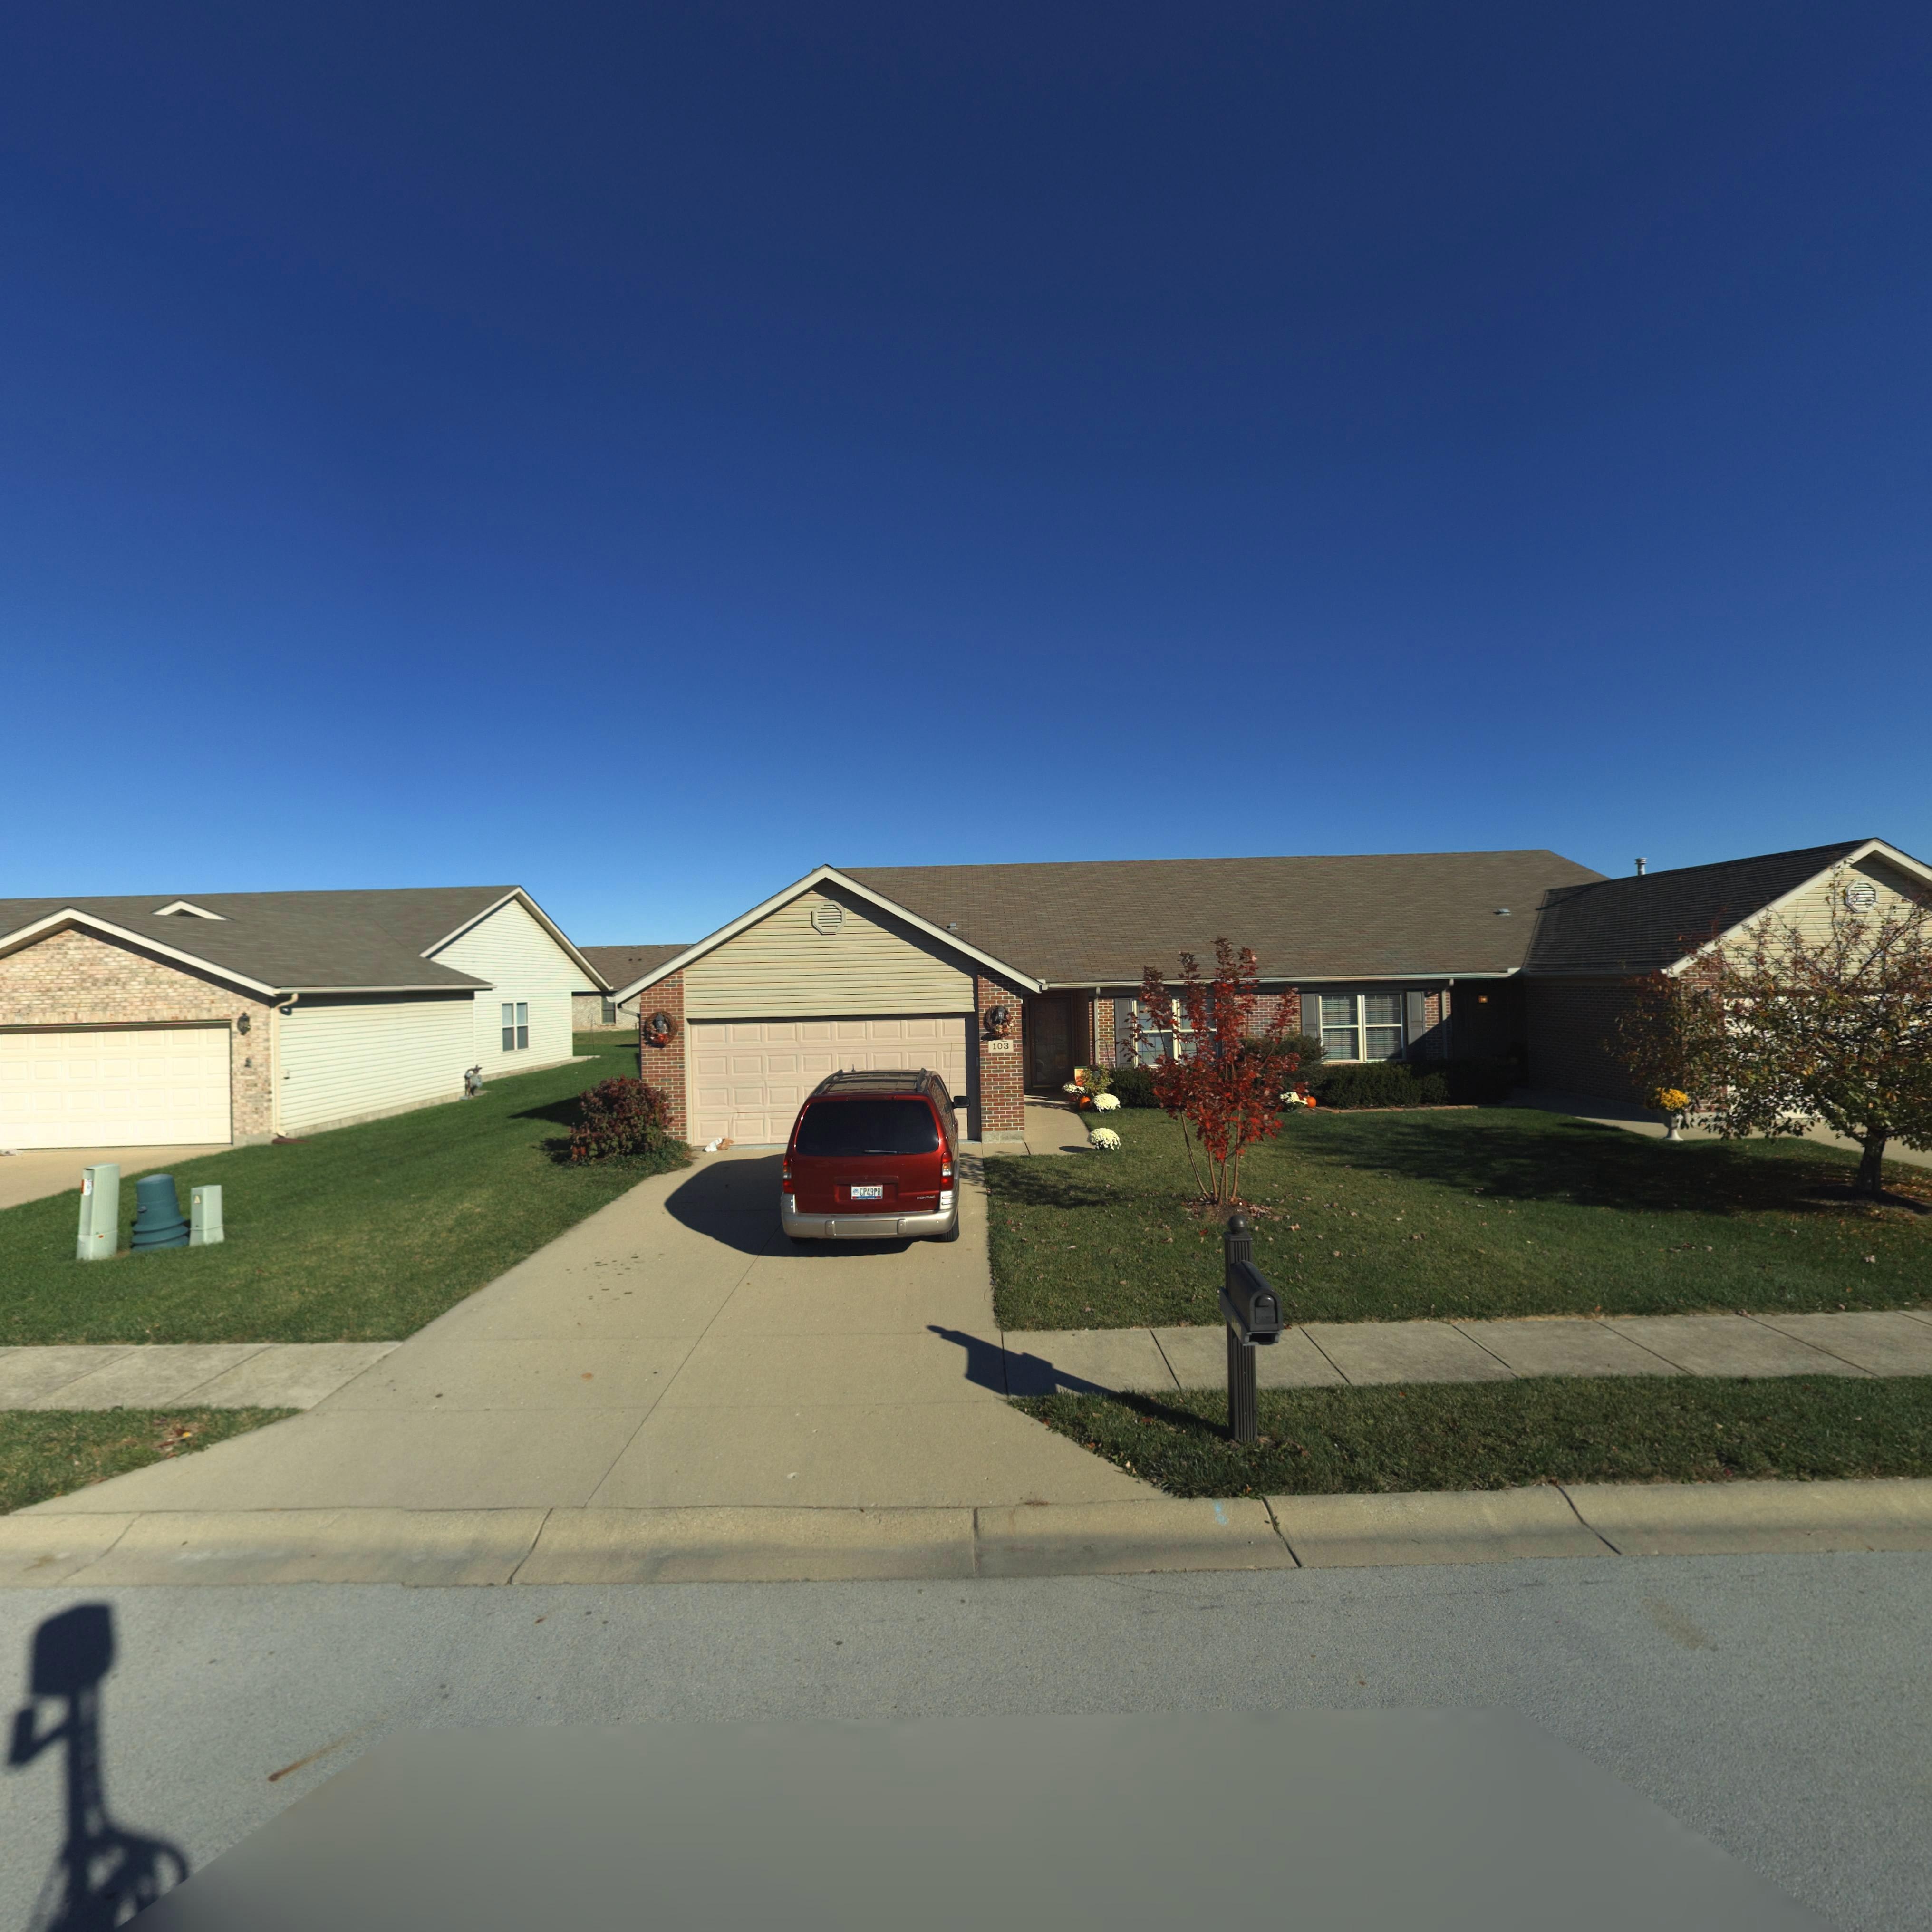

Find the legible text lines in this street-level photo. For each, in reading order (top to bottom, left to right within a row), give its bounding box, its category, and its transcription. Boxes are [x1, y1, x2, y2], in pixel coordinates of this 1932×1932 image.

[992, 1042, 1010, 1051] StreetNumber: 103